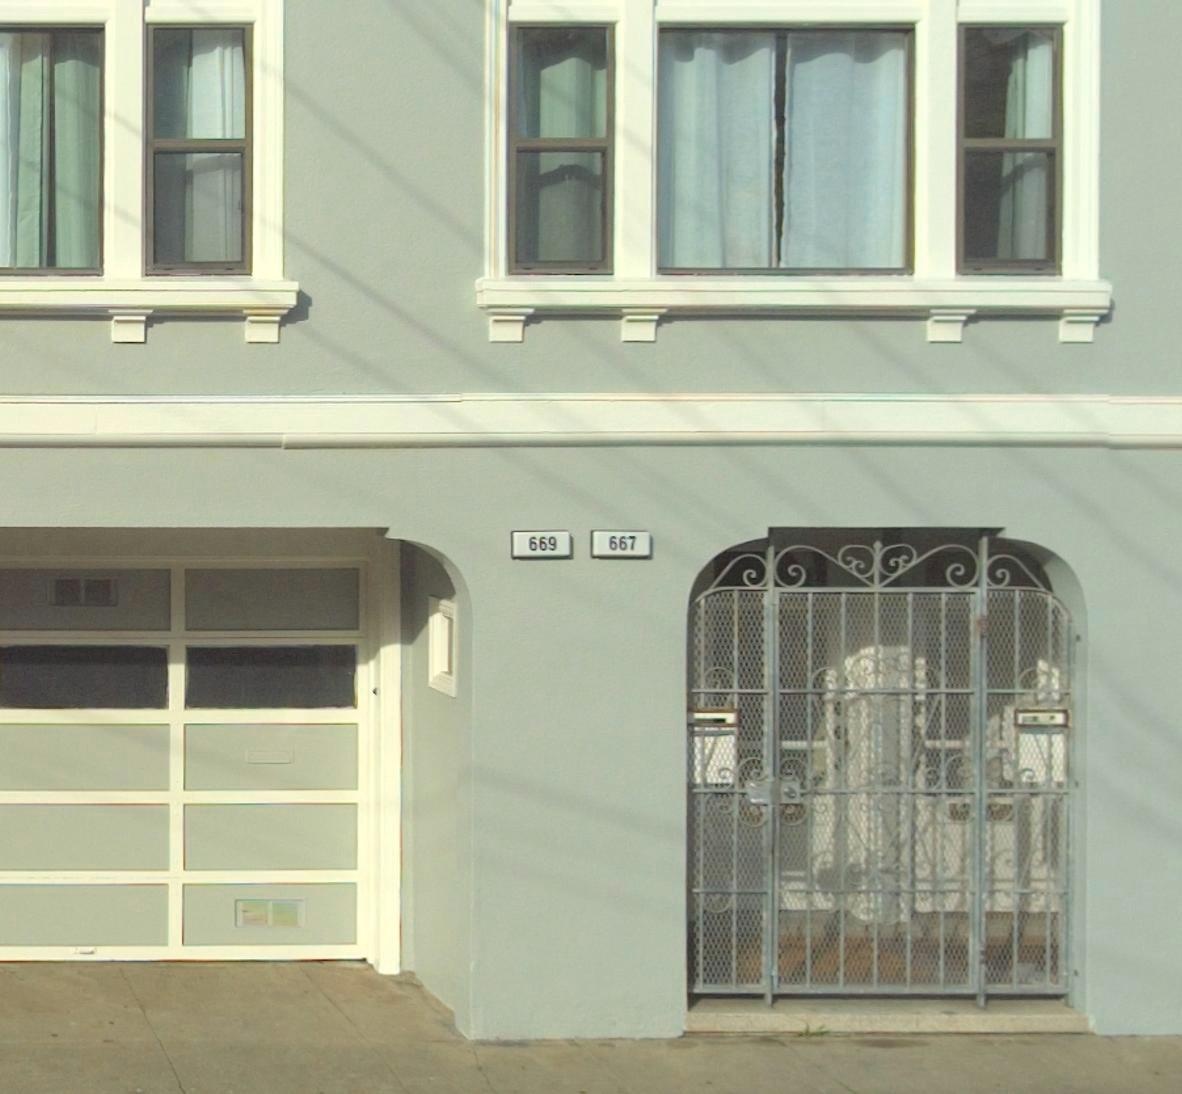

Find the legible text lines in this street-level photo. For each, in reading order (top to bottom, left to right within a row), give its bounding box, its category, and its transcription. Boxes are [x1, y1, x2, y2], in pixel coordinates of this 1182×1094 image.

[526, 534, 559, 553] StreetNumber: 669
[606, 533, 639, 553] StreetNumber: 667